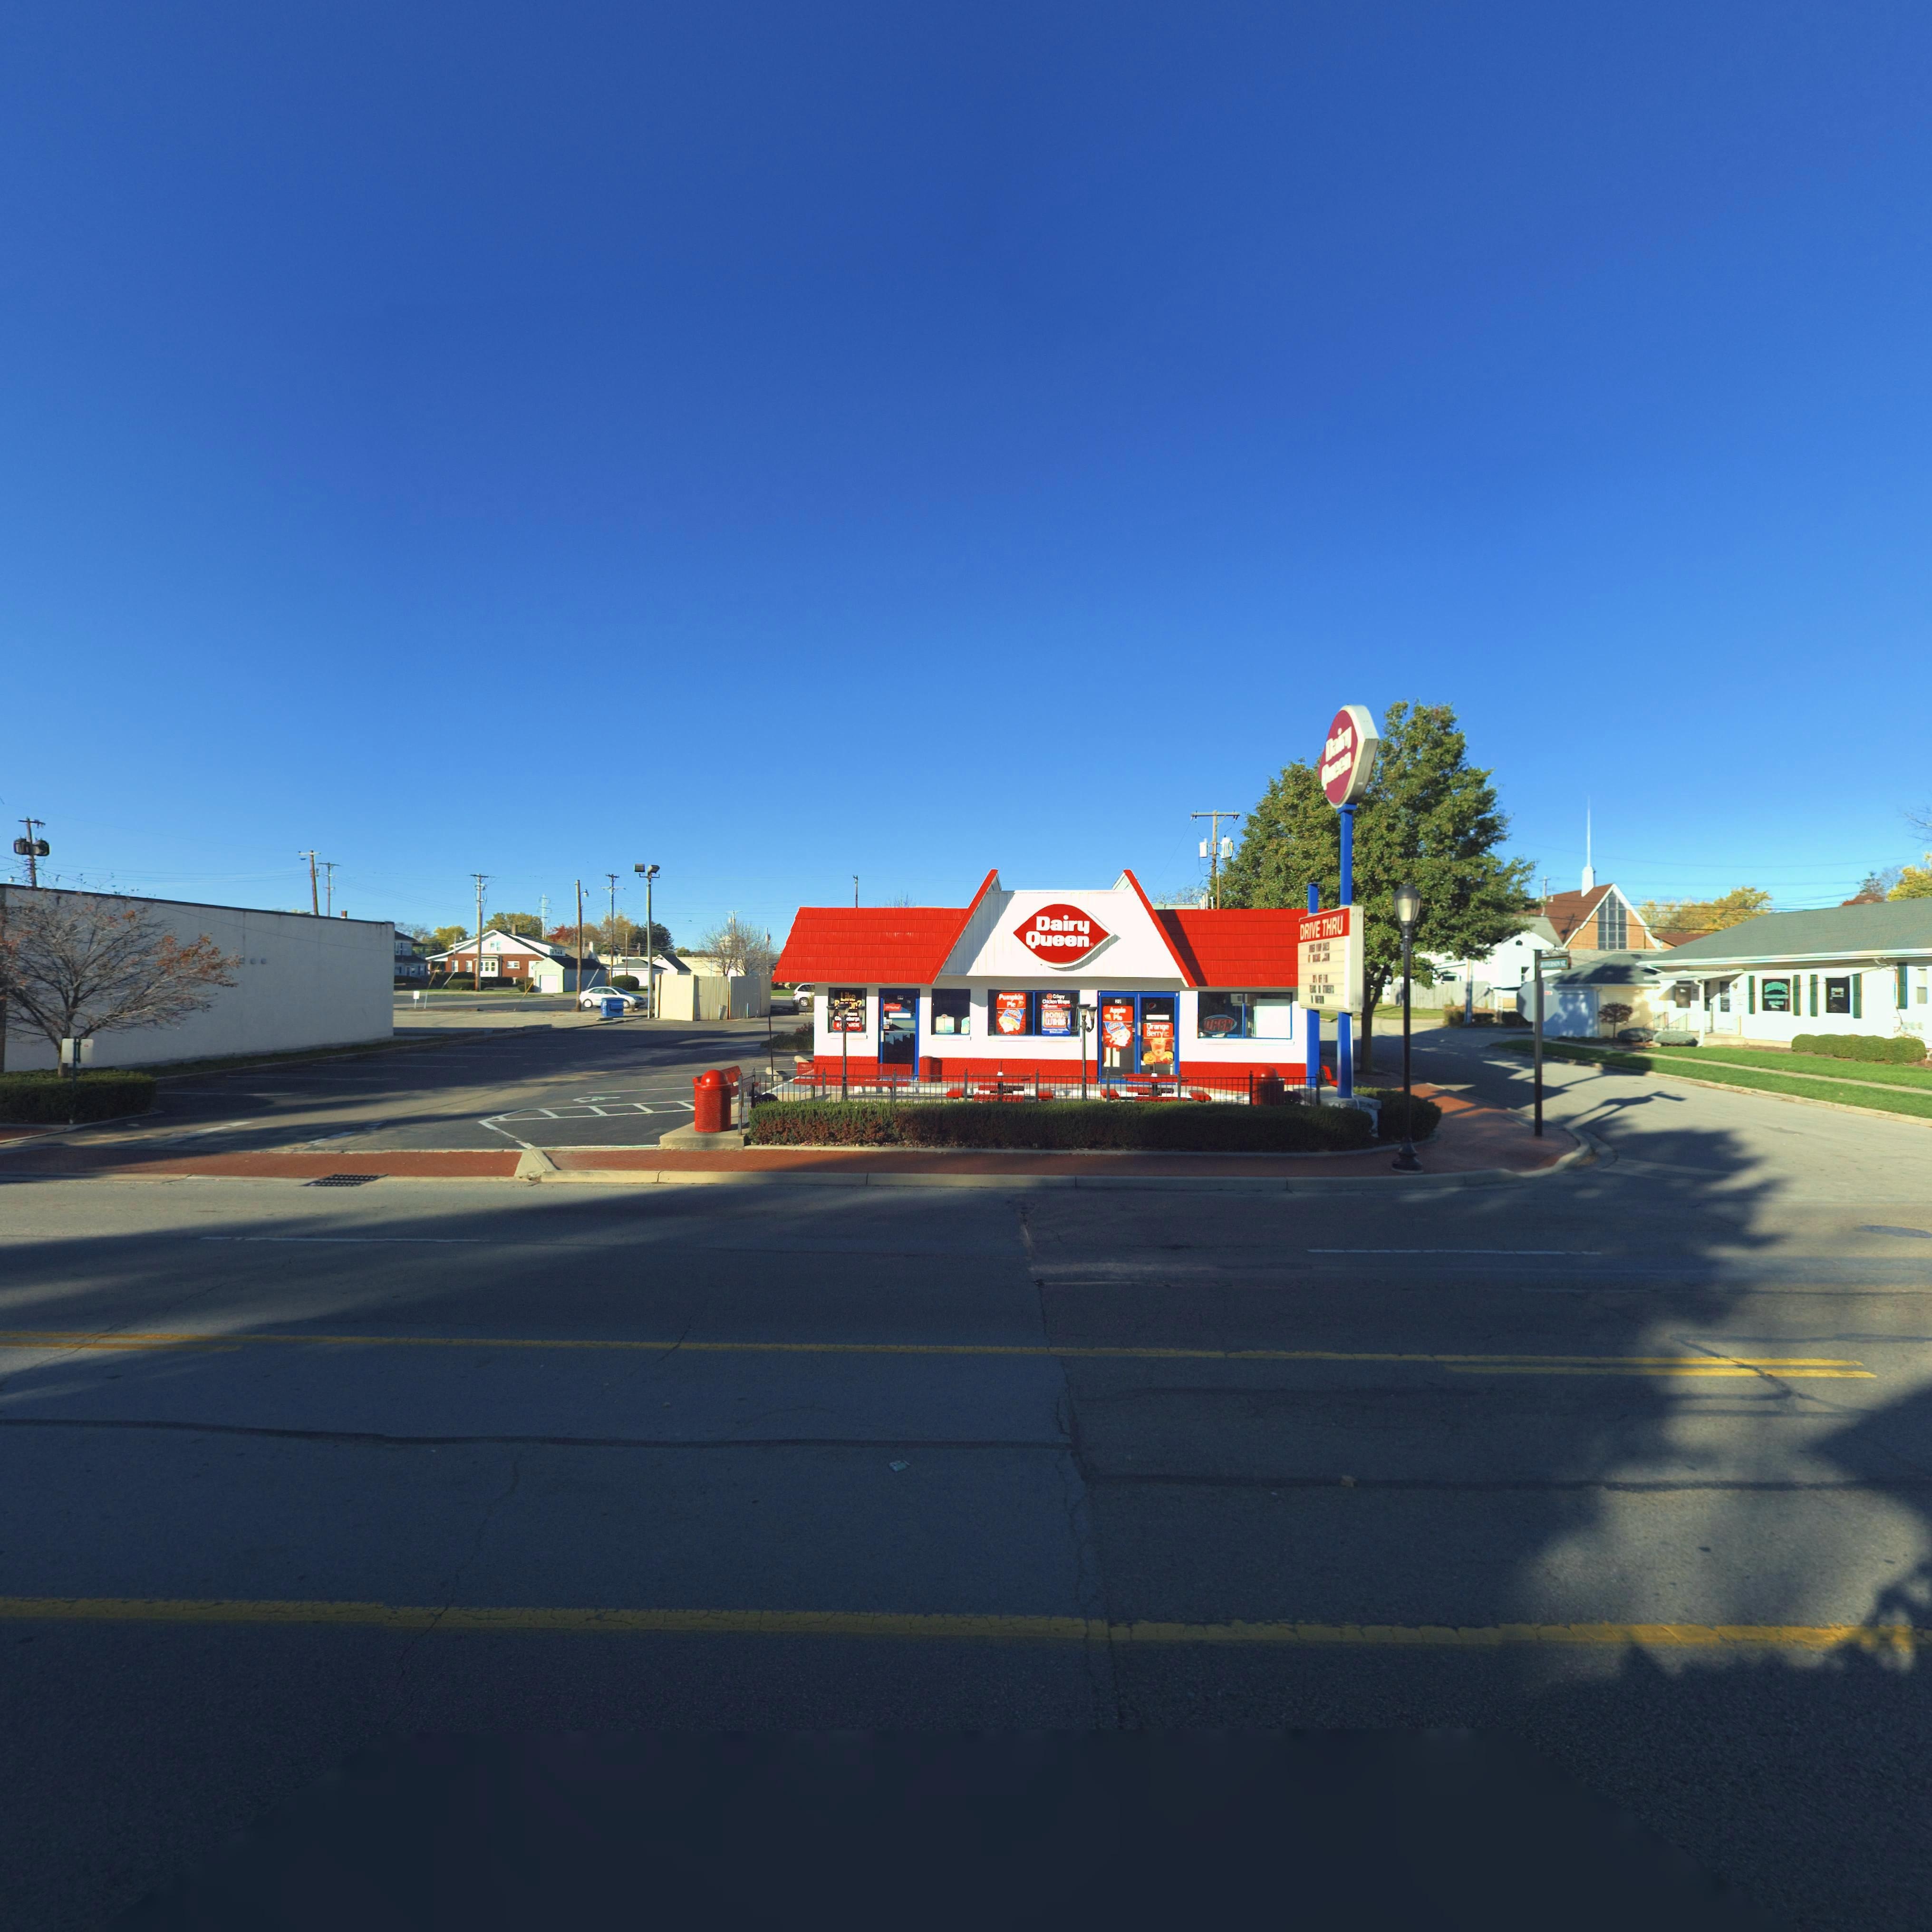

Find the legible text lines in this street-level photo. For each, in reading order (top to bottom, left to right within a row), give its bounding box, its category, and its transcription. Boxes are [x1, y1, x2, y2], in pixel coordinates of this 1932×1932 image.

[1321, 721, 1352, 763] BusinessName: Dairy
[1320, 748, 1352, 794] BusinessName: Queen
[1023, 928, 1091, 950] BusinessName: Queen
[1033, 912, 1090, 935] BusinessName: Dairy
[1298, 915, 1343, 941] None: DRIVE THRU
[897, 995, 903, 1000] StreetNumber: *9
[1115, 999, 1121, 1004] StreetNumber: 29